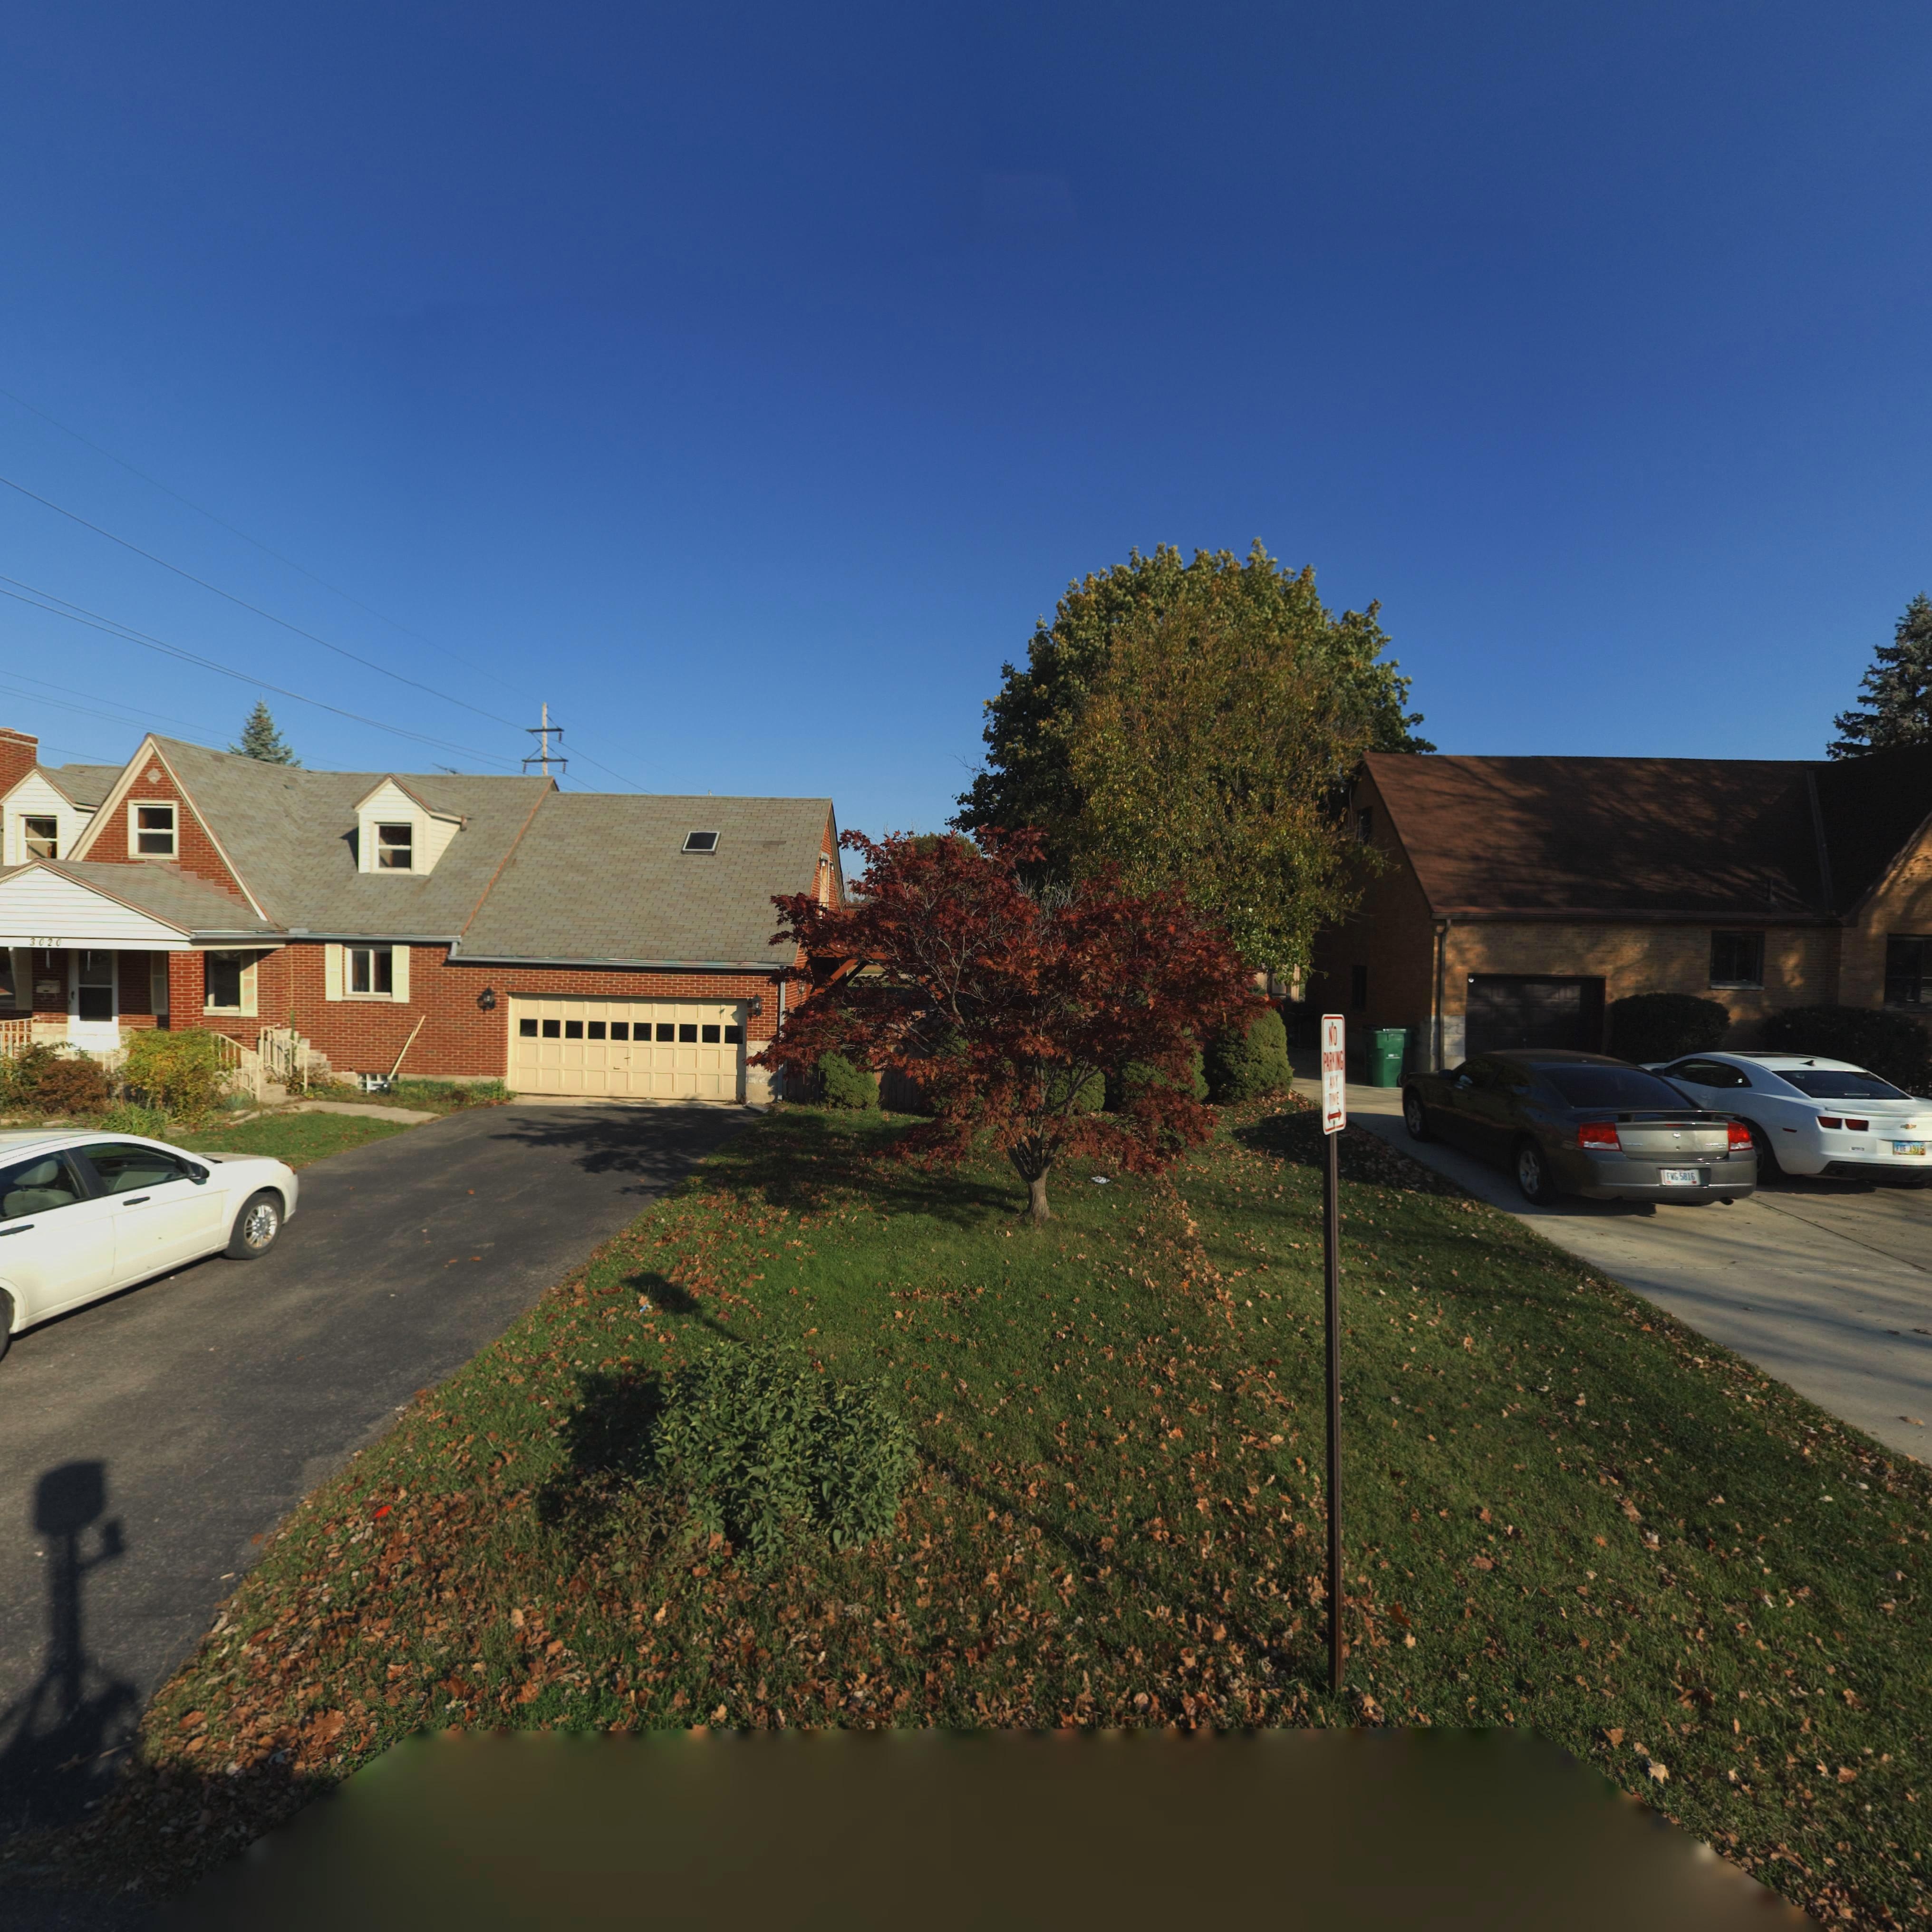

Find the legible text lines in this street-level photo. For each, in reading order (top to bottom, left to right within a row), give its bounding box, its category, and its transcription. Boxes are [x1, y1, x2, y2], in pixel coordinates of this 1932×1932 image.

[29, 937, 62, 947] StreetNumber: 3020